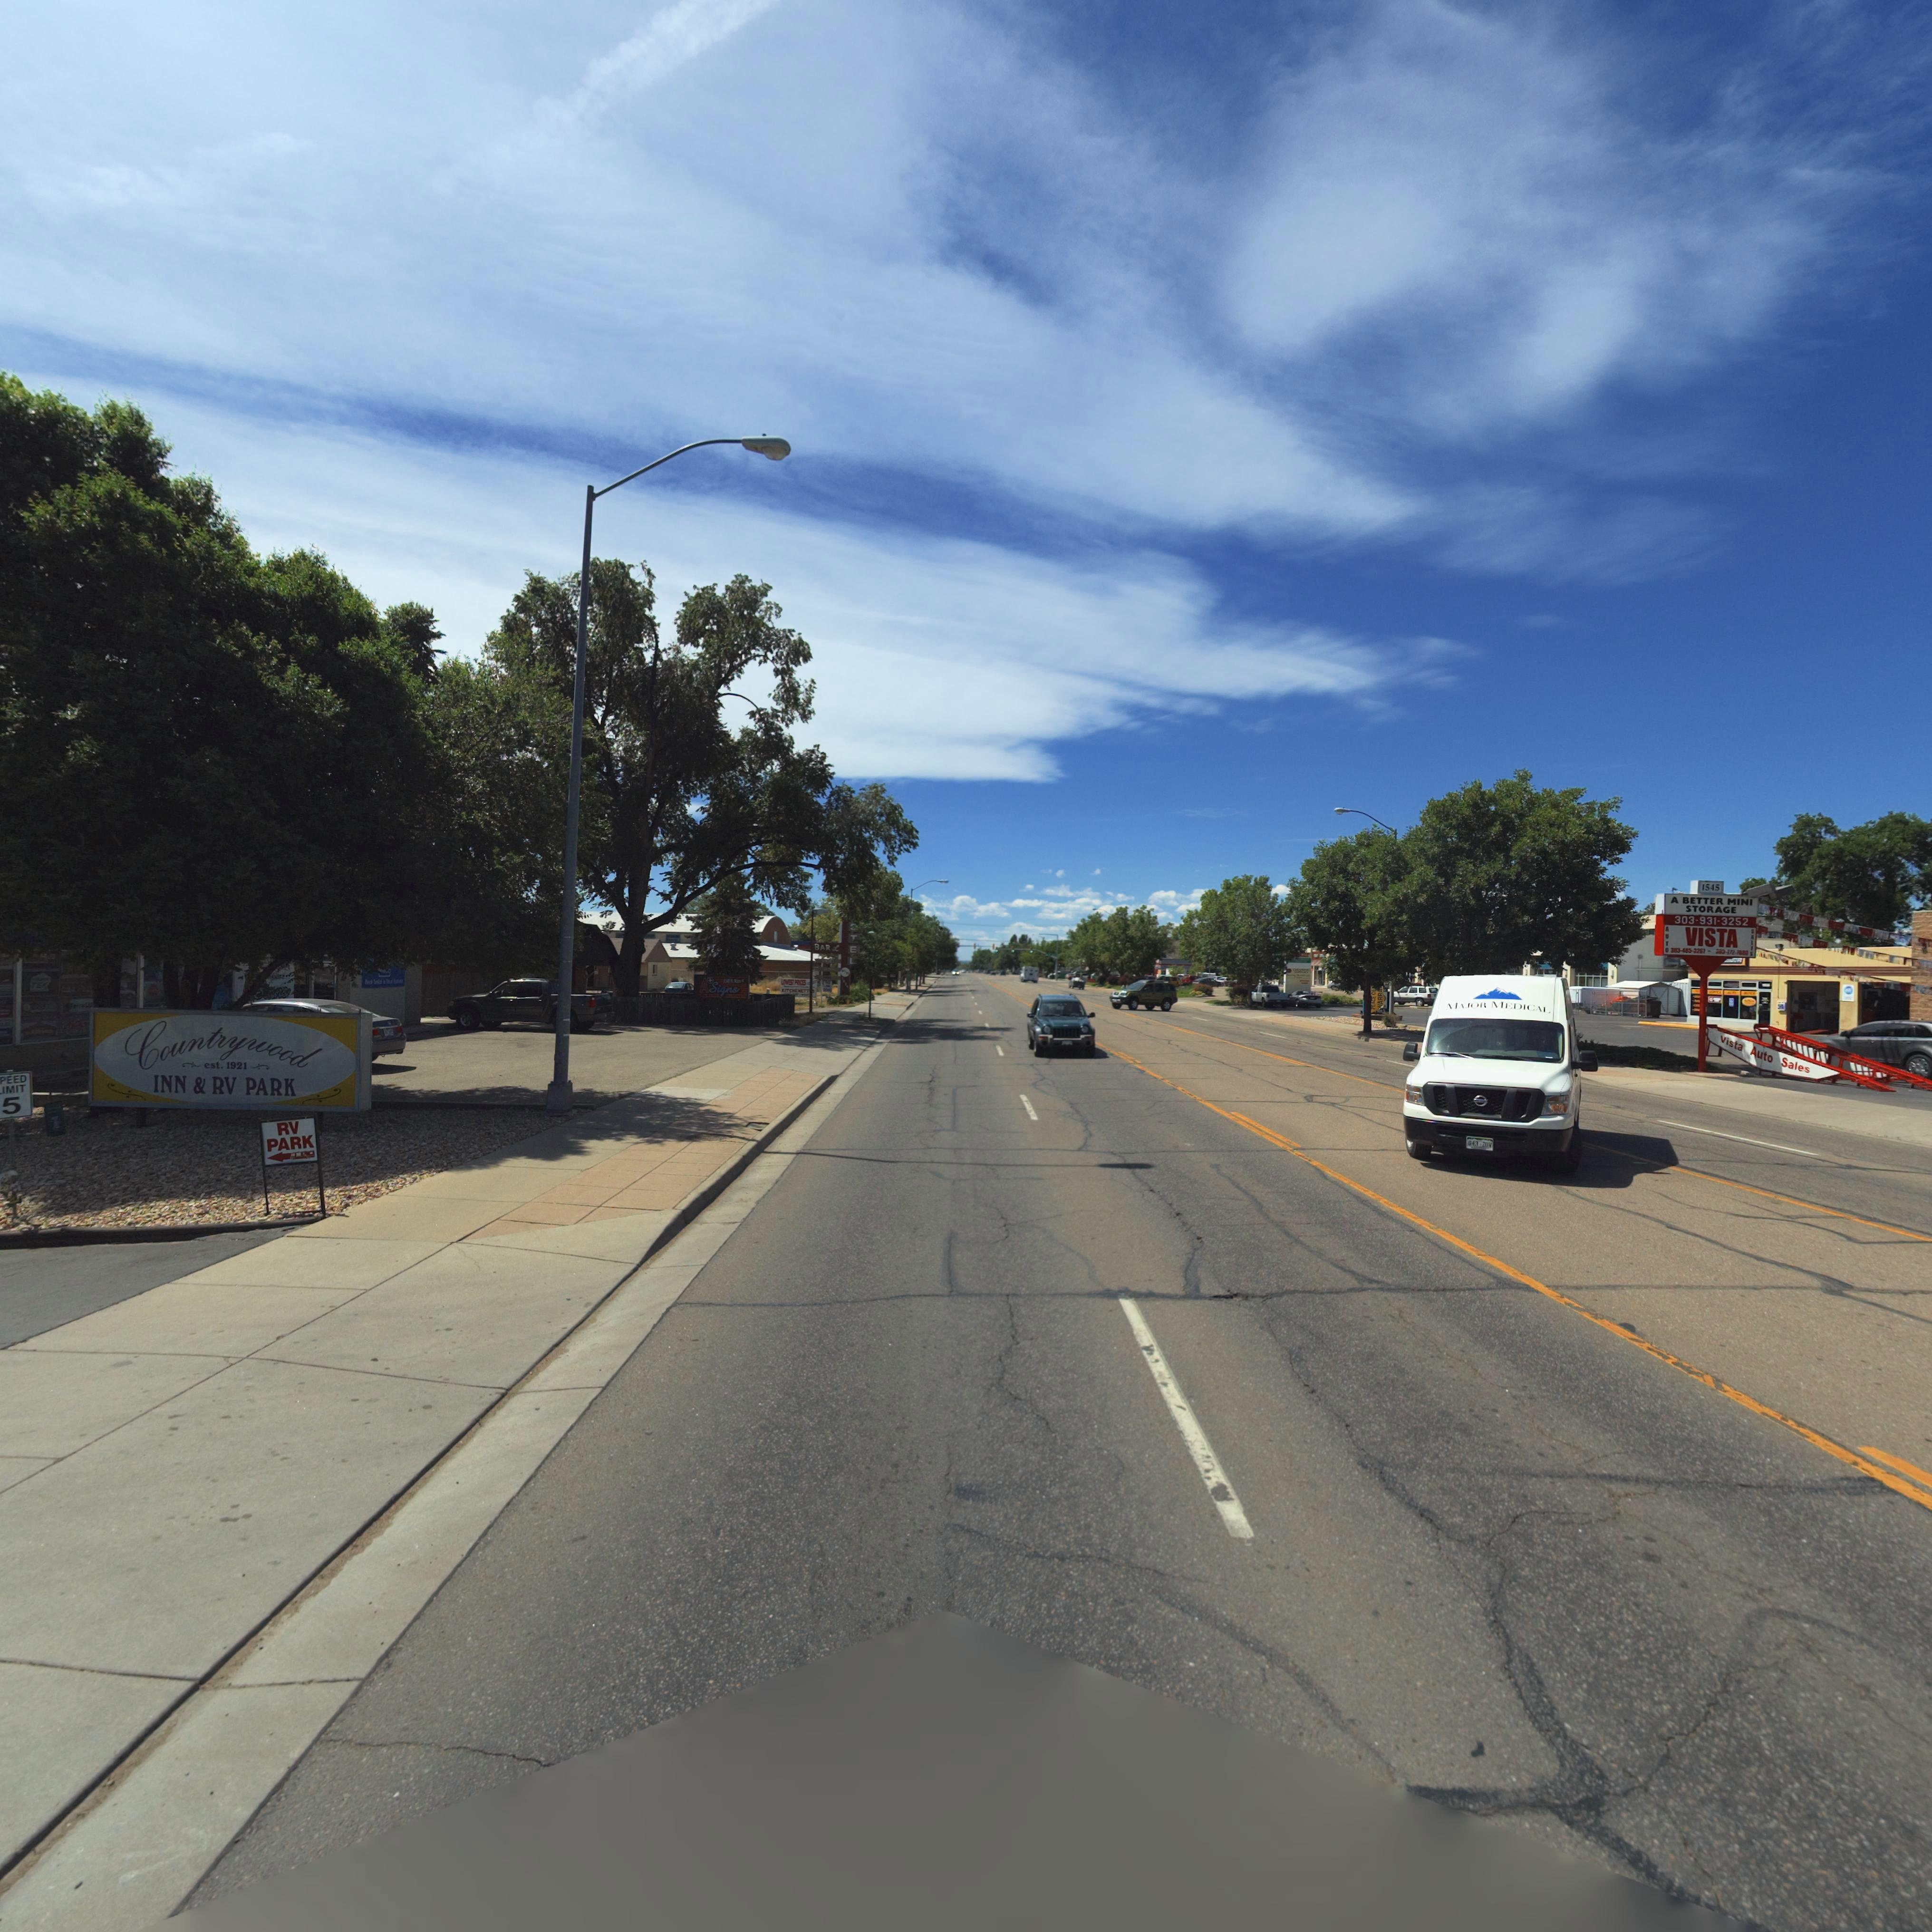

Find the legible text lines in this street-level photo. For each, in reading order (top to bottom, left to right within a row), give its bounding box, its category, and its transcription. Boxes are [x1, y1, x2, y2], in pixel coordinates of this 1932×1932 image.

[1701, 883, 1720, 891] StreetNumber: 1545
[813, 943, 840, 952] BusinessName: BAR L
[849, 923, 859, 965] BusinessName: OTEL
[1664, 926, 1669, 953] BusinessName: AUTO
[1685, 926, 1739, 948] BusinessName: VISTA
[1749, 928, 1754, 956] BusinessName: SALES
[698, 976, 741, 997] BusinessName: A*Signs
[723, 978, 730, 984] StreetNumber: 1540
[124, 1020, 324, 1071] BusinessName: Countrywood
[1720, 1034, 1811, 1073] BusinessName: Vista Auto Sales
[152, 1073, 297, 1097] BusinessName: INN * RV PARK